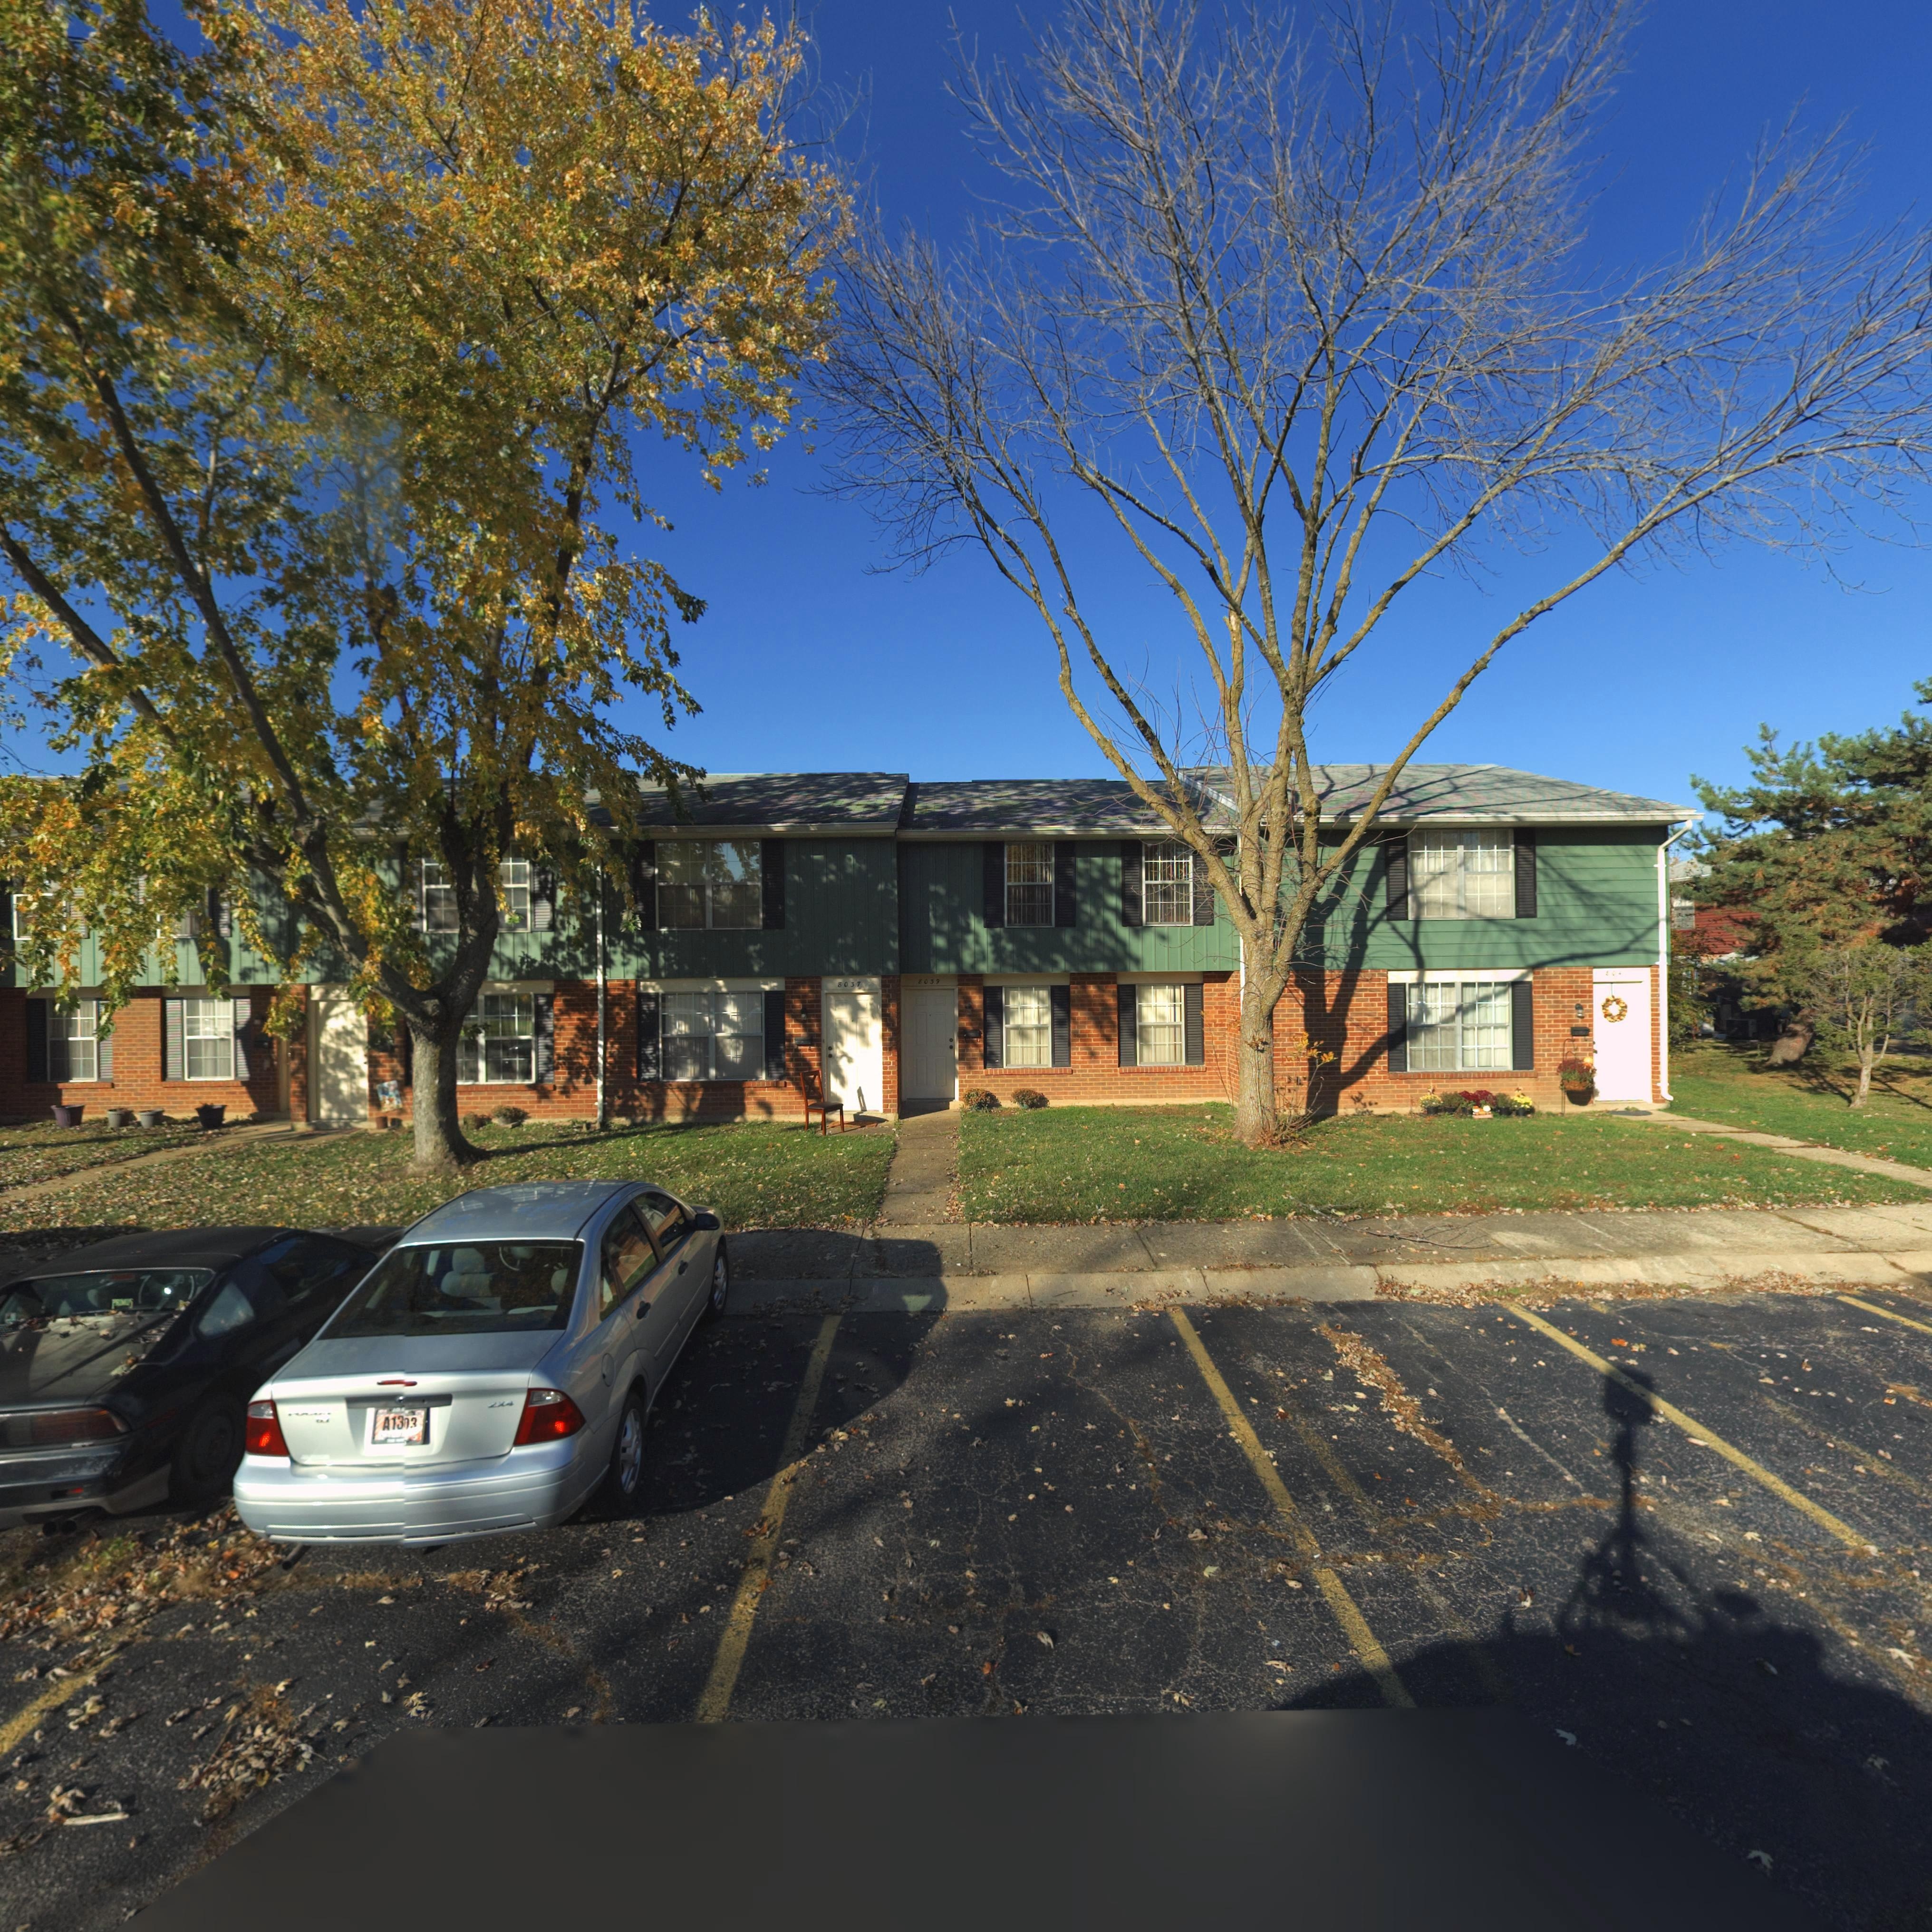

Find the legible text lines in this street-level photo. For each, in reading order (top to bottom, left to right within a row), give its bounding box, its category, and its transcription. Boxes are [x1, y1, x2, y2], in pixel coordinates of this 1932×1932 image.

[1605, 970, 1616, 976] StreetNumber: 80
[837, 981, 861, 987] StreetNumber: 8037
[918, 978, 940, 985] StreetNumber: 8039
[324, 988, 337, 995] StreetNumber: 80